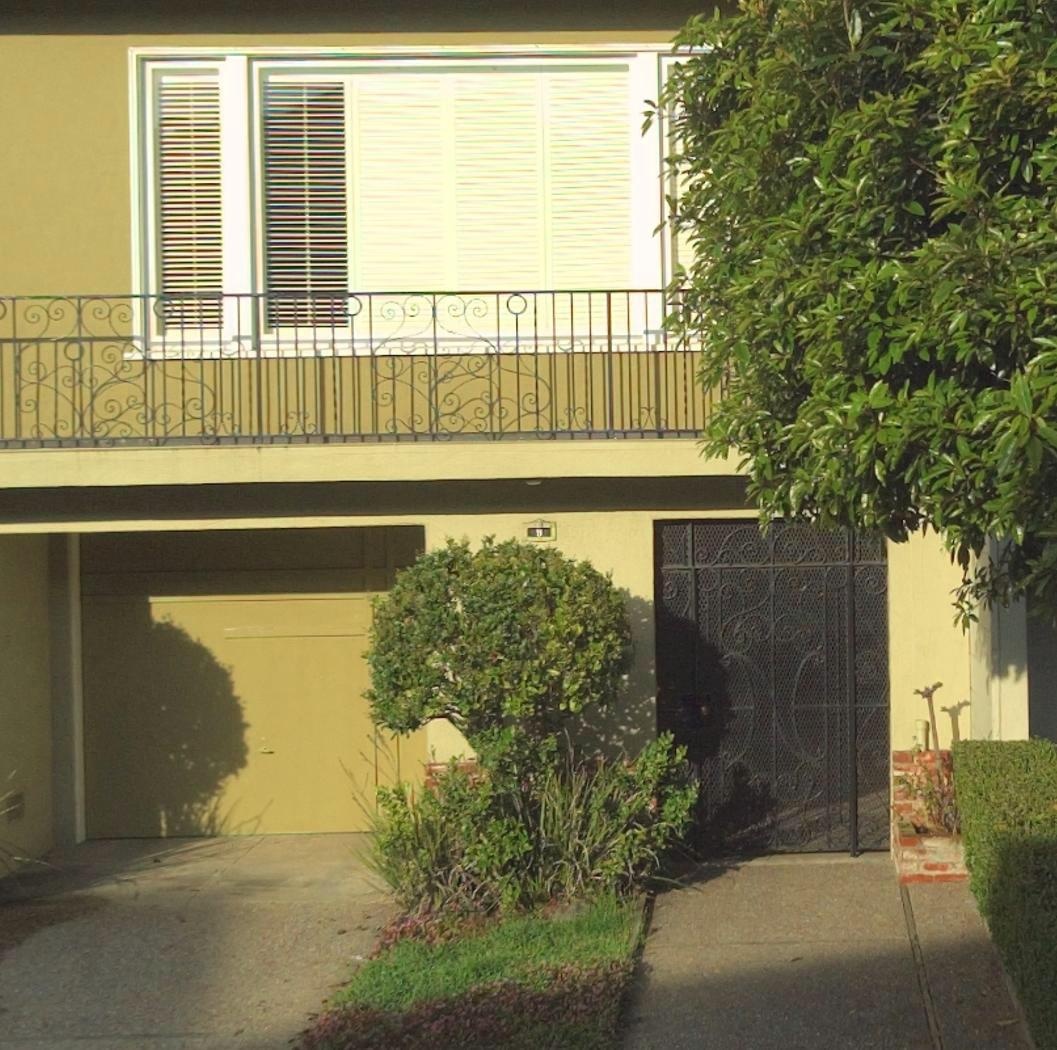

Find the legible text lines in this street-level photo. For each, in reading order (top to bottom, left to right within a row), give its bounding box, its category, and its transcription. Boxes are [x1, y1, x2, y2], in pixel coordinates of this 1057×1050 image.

[534, 527, 545, 539] StreetNumber: 9